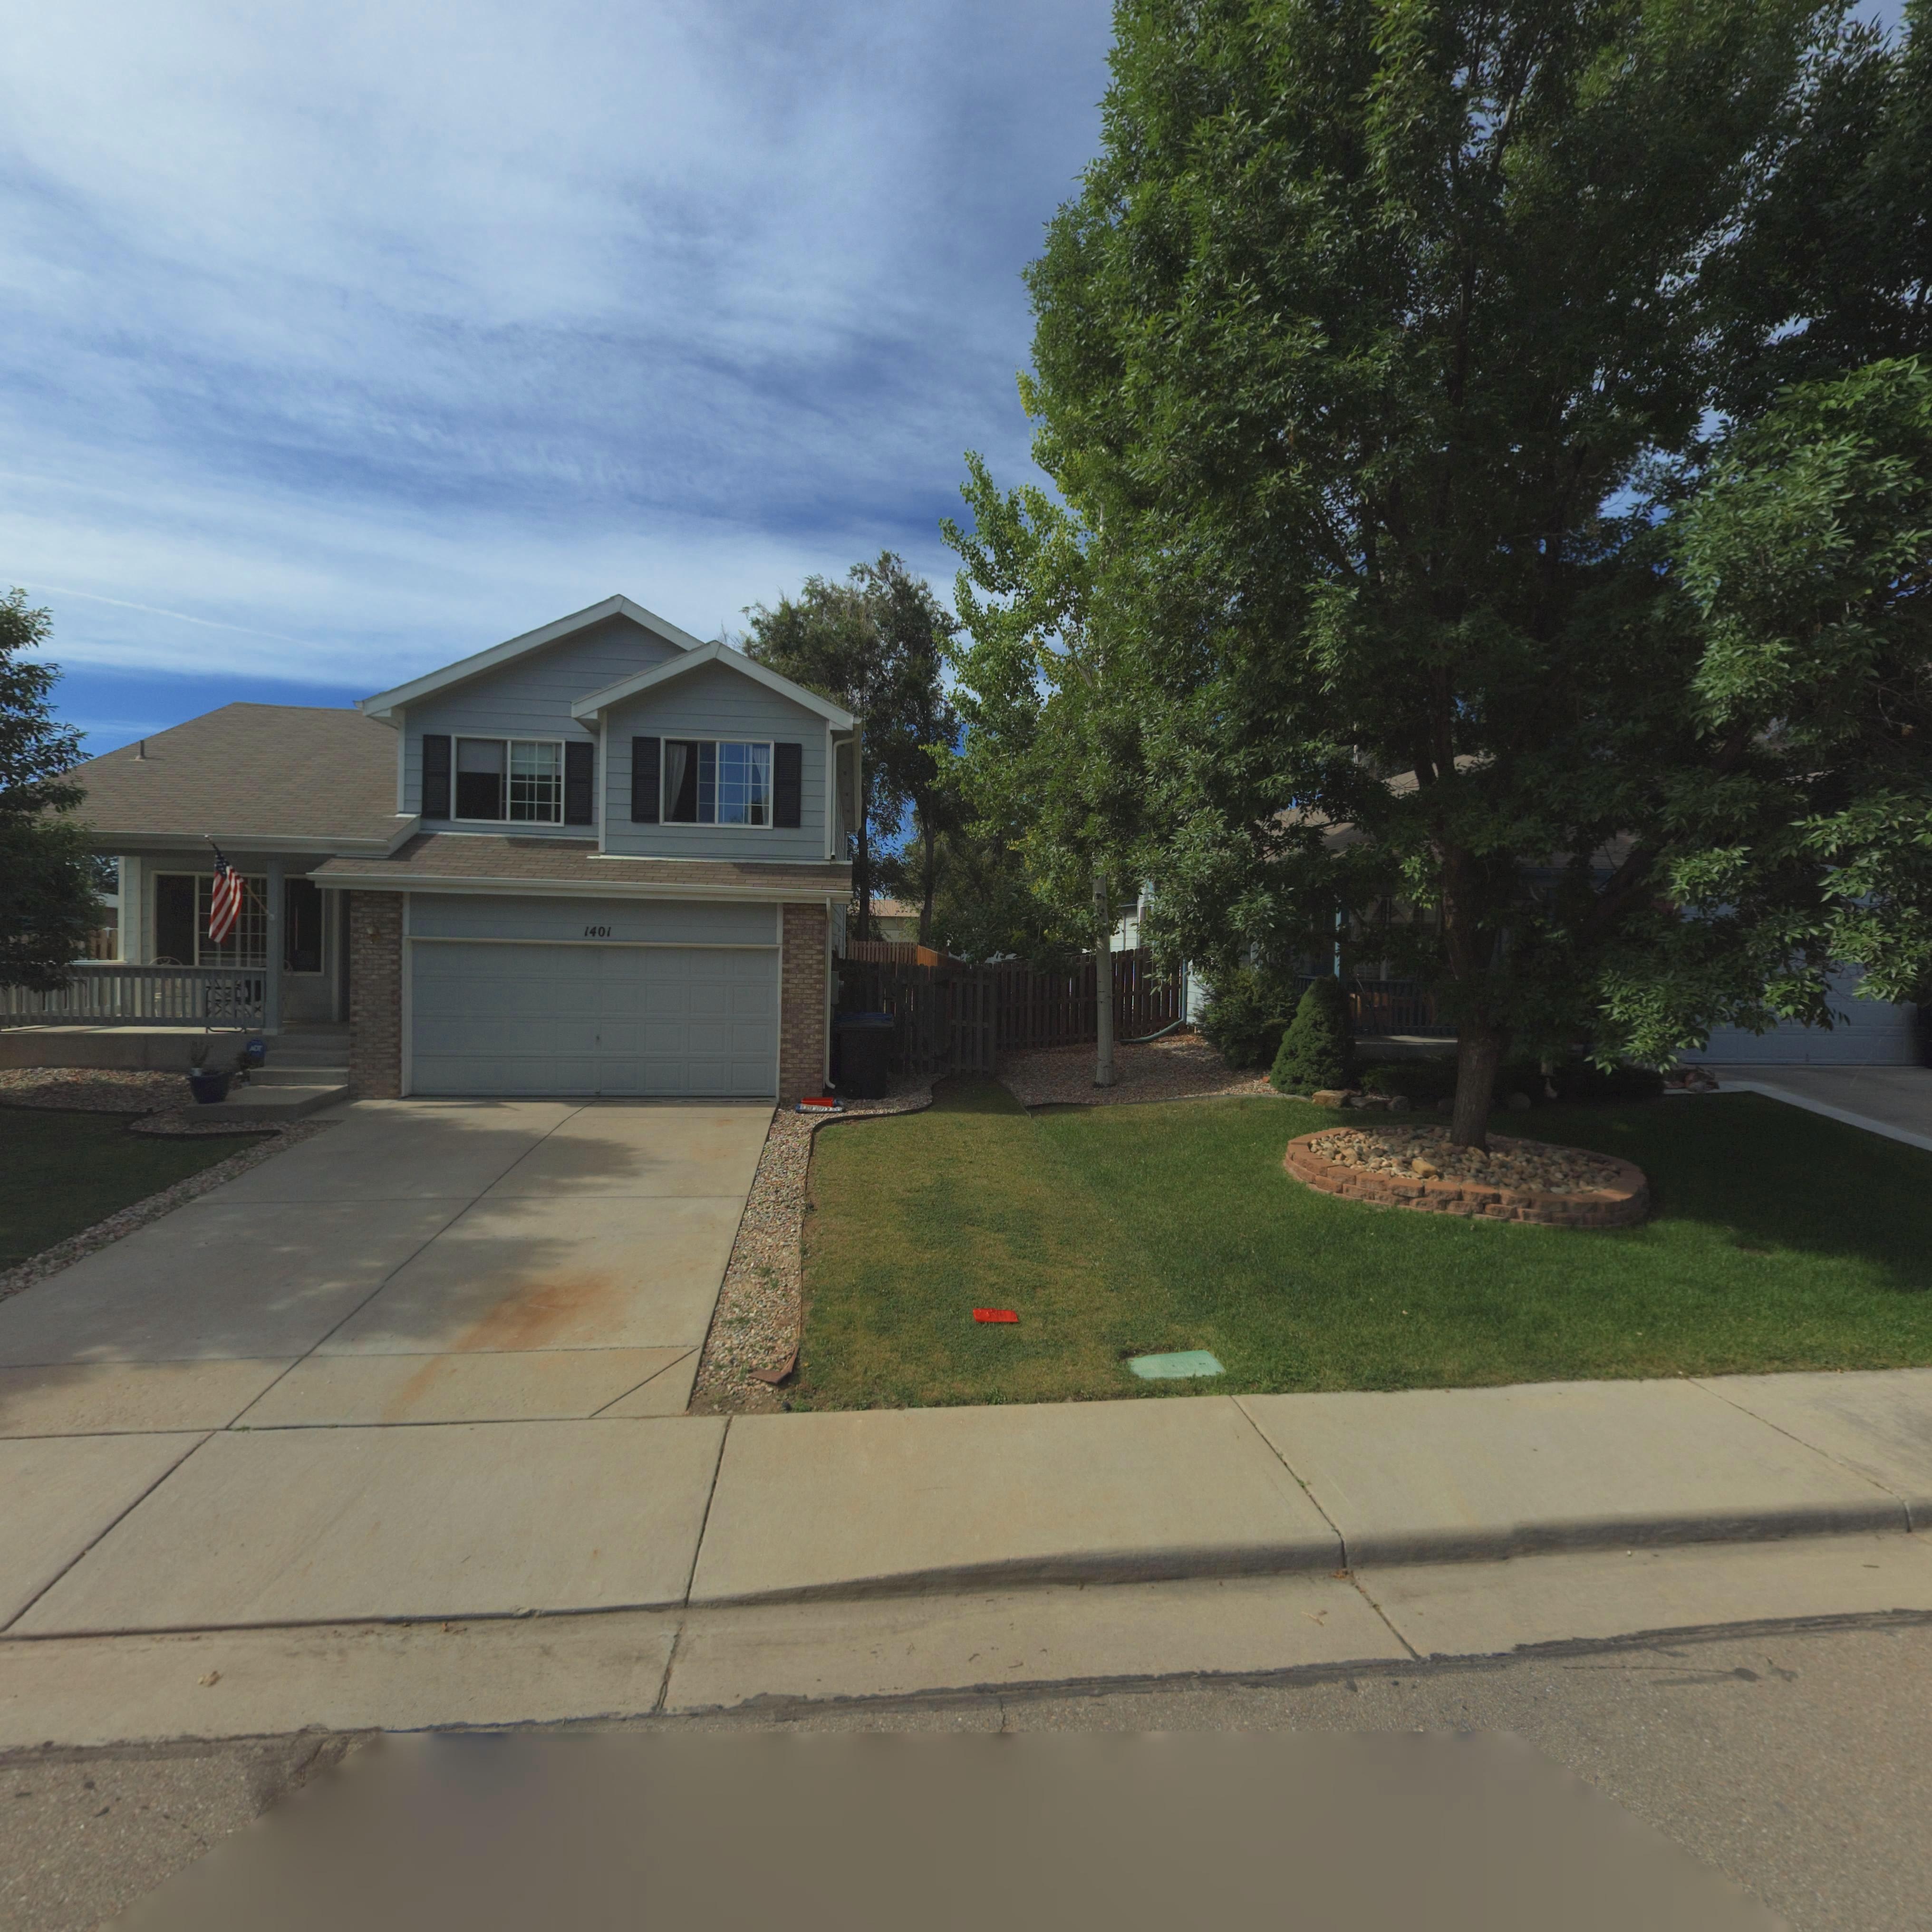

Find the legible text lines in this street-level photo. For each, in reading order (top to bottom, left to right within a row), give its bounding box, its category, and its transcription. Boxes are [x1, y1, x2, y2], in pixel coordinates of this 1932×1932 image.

[583, 925, 611, 937] StreetNumber: 1401